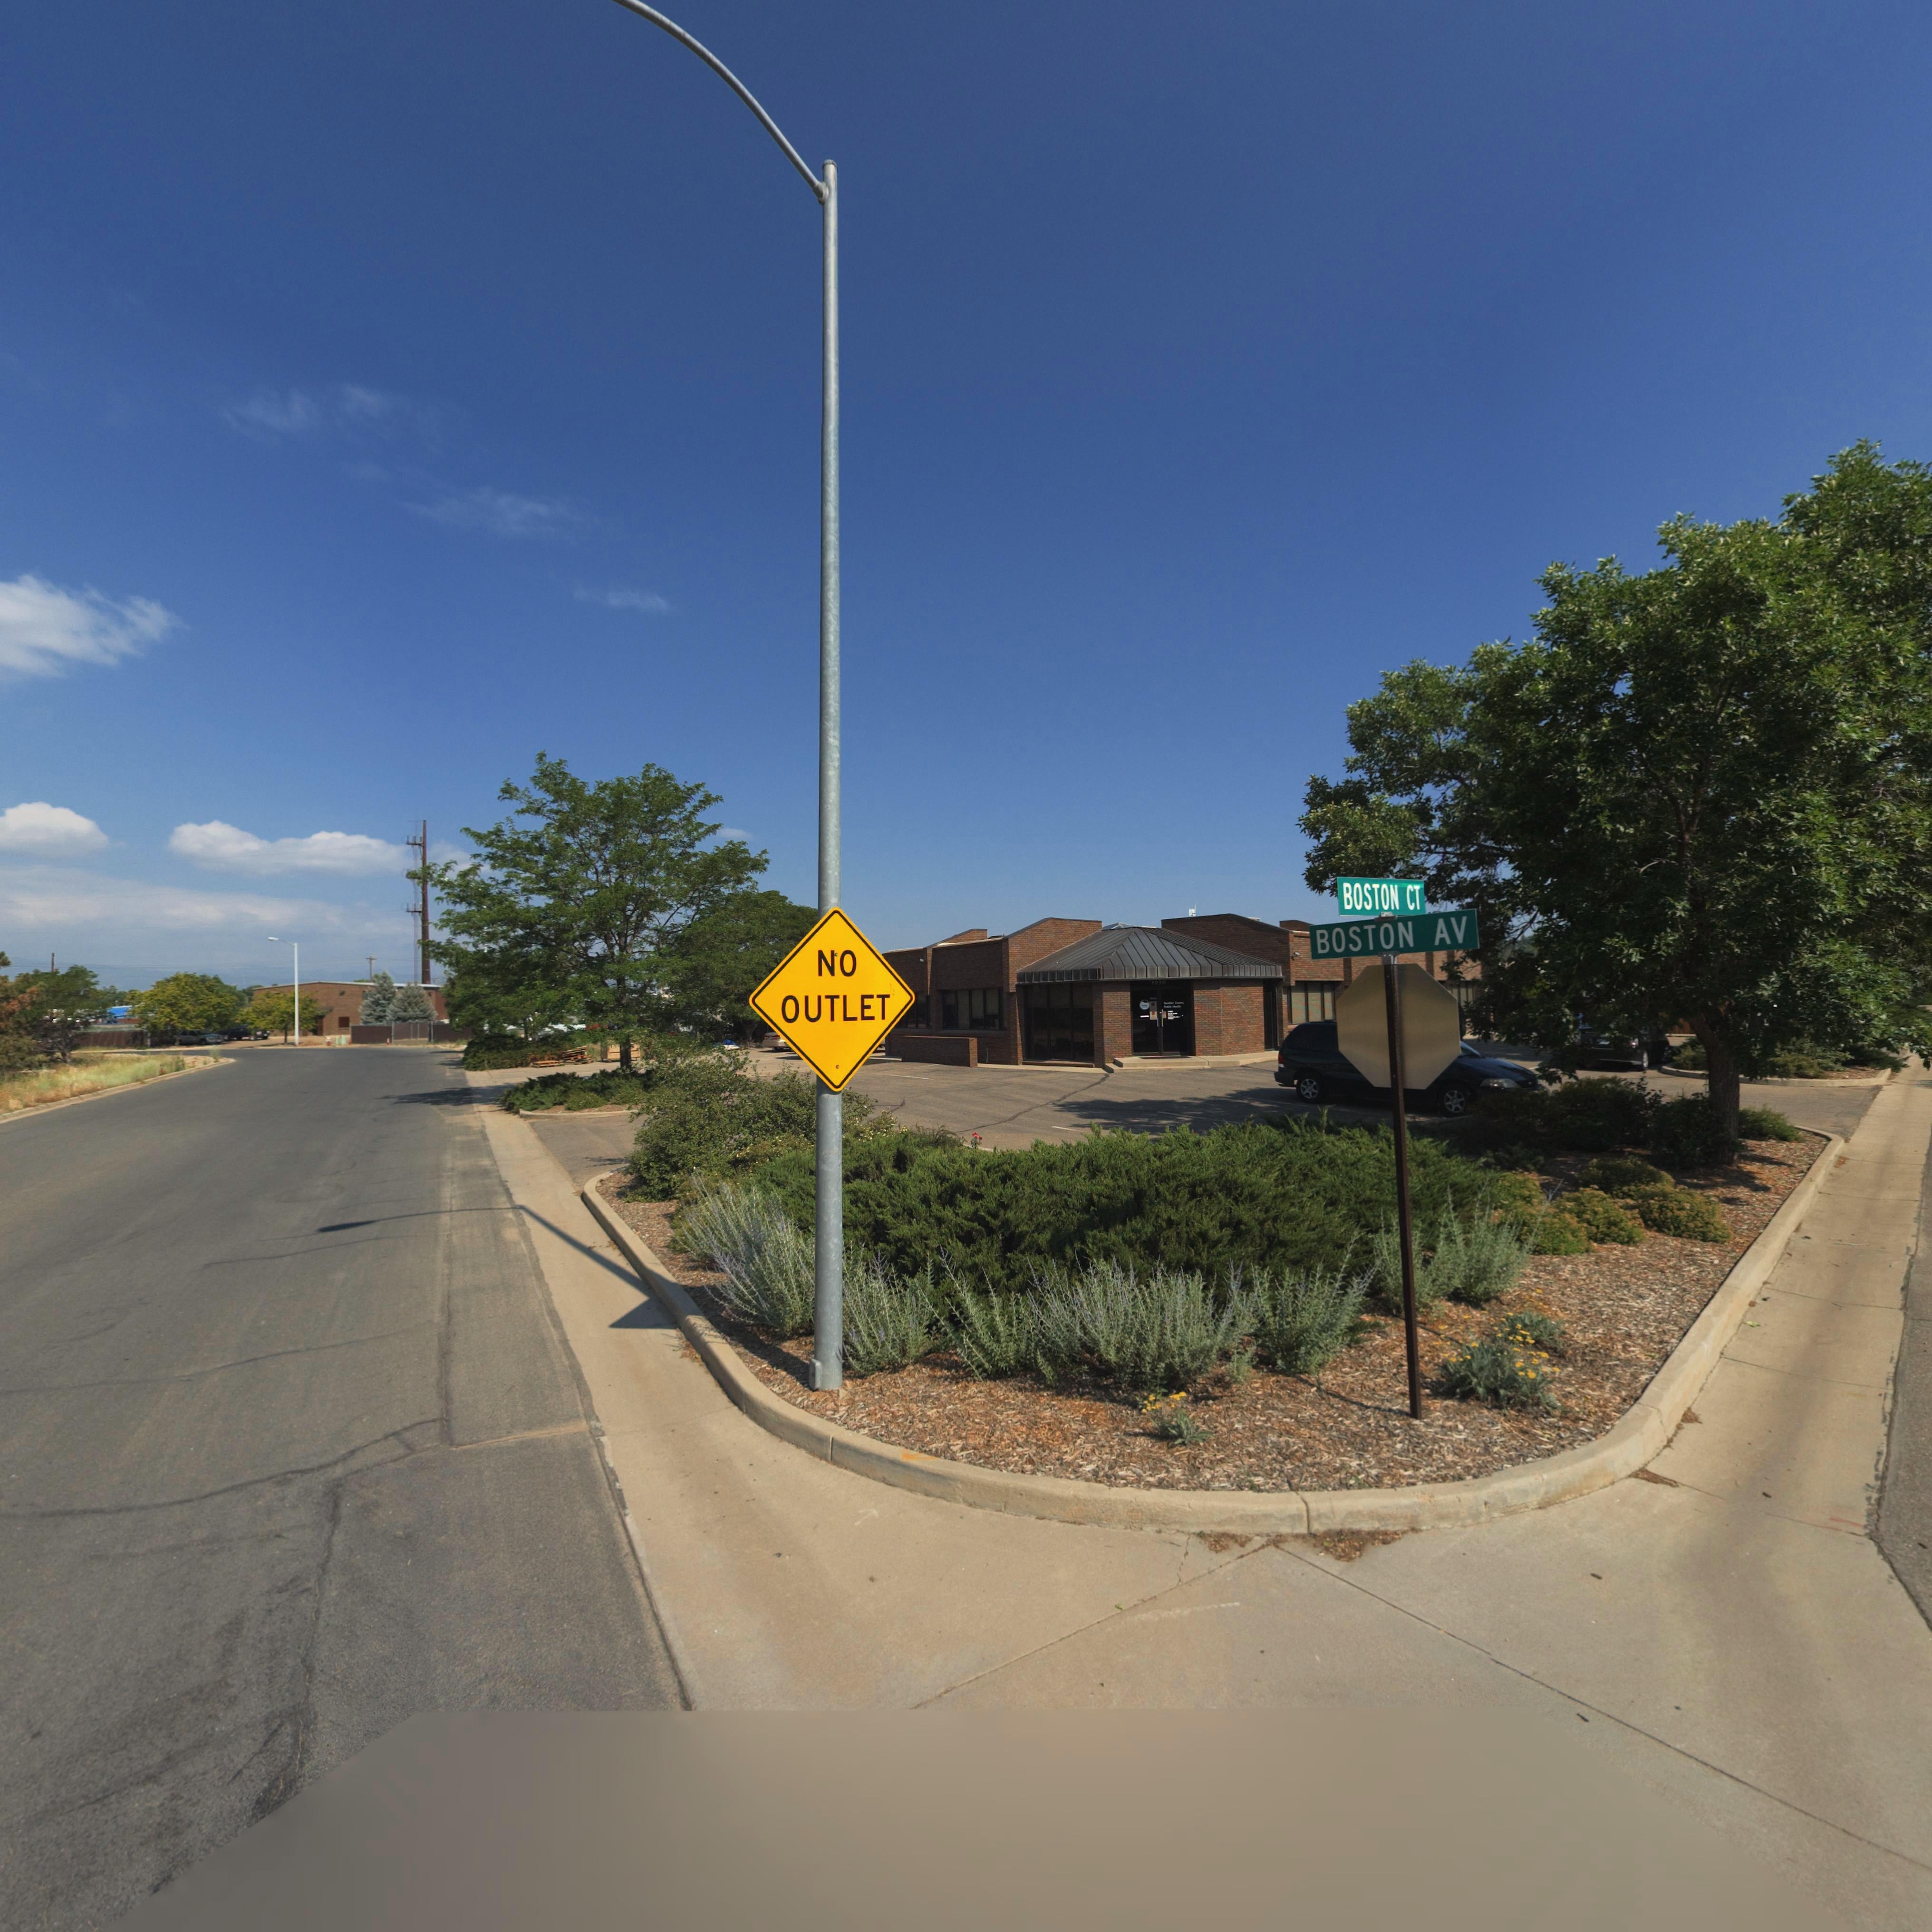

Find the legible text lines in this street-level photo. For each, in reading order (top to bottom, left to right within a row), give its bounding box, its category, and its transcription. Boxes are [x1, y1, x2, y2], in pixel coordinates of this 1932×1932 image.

[1343, 882, 1420, 910] StreetName: BOSTON CT
[1315, 915, 1468, 955] StreetName: BOSTON AV
[1151, 980, 1167, 985] StreetNumber: 1030